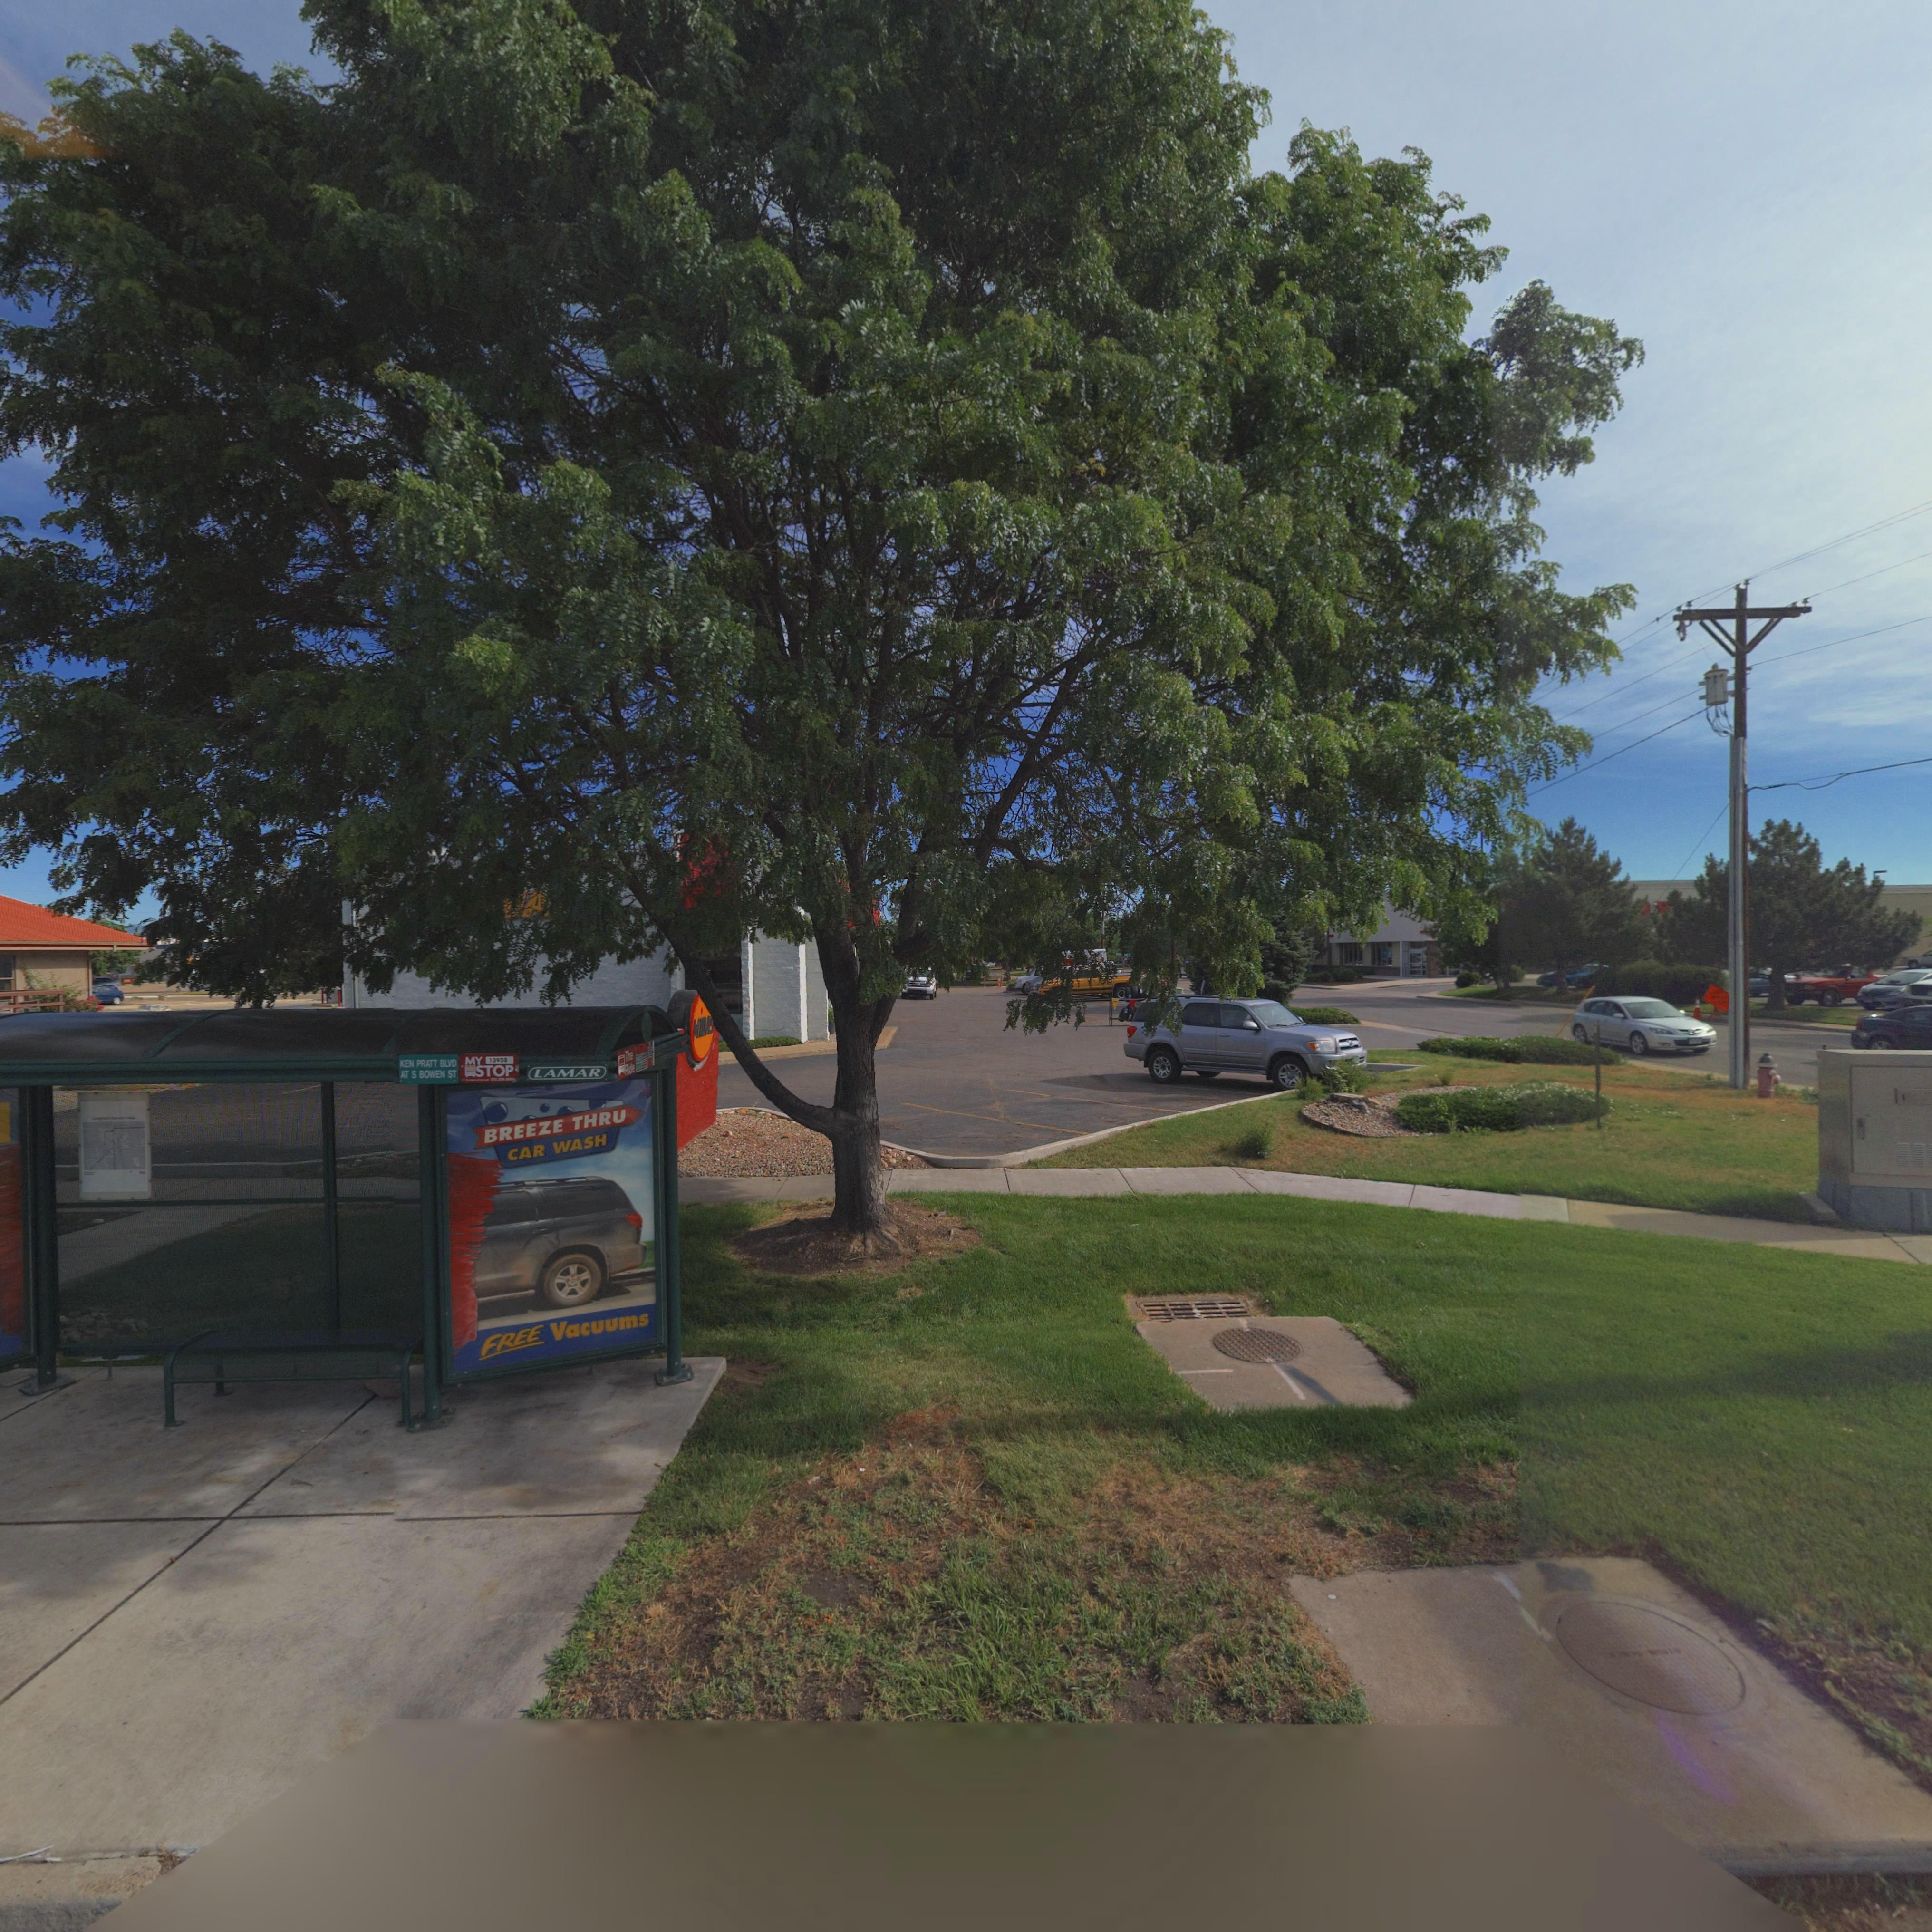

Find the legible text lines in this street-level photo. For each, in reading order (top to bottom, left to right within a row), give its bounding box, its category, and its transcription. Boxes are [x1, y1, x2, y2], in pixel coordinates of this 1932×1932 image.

[693, 1006, 715, 1039] BusinessName: *i*A*